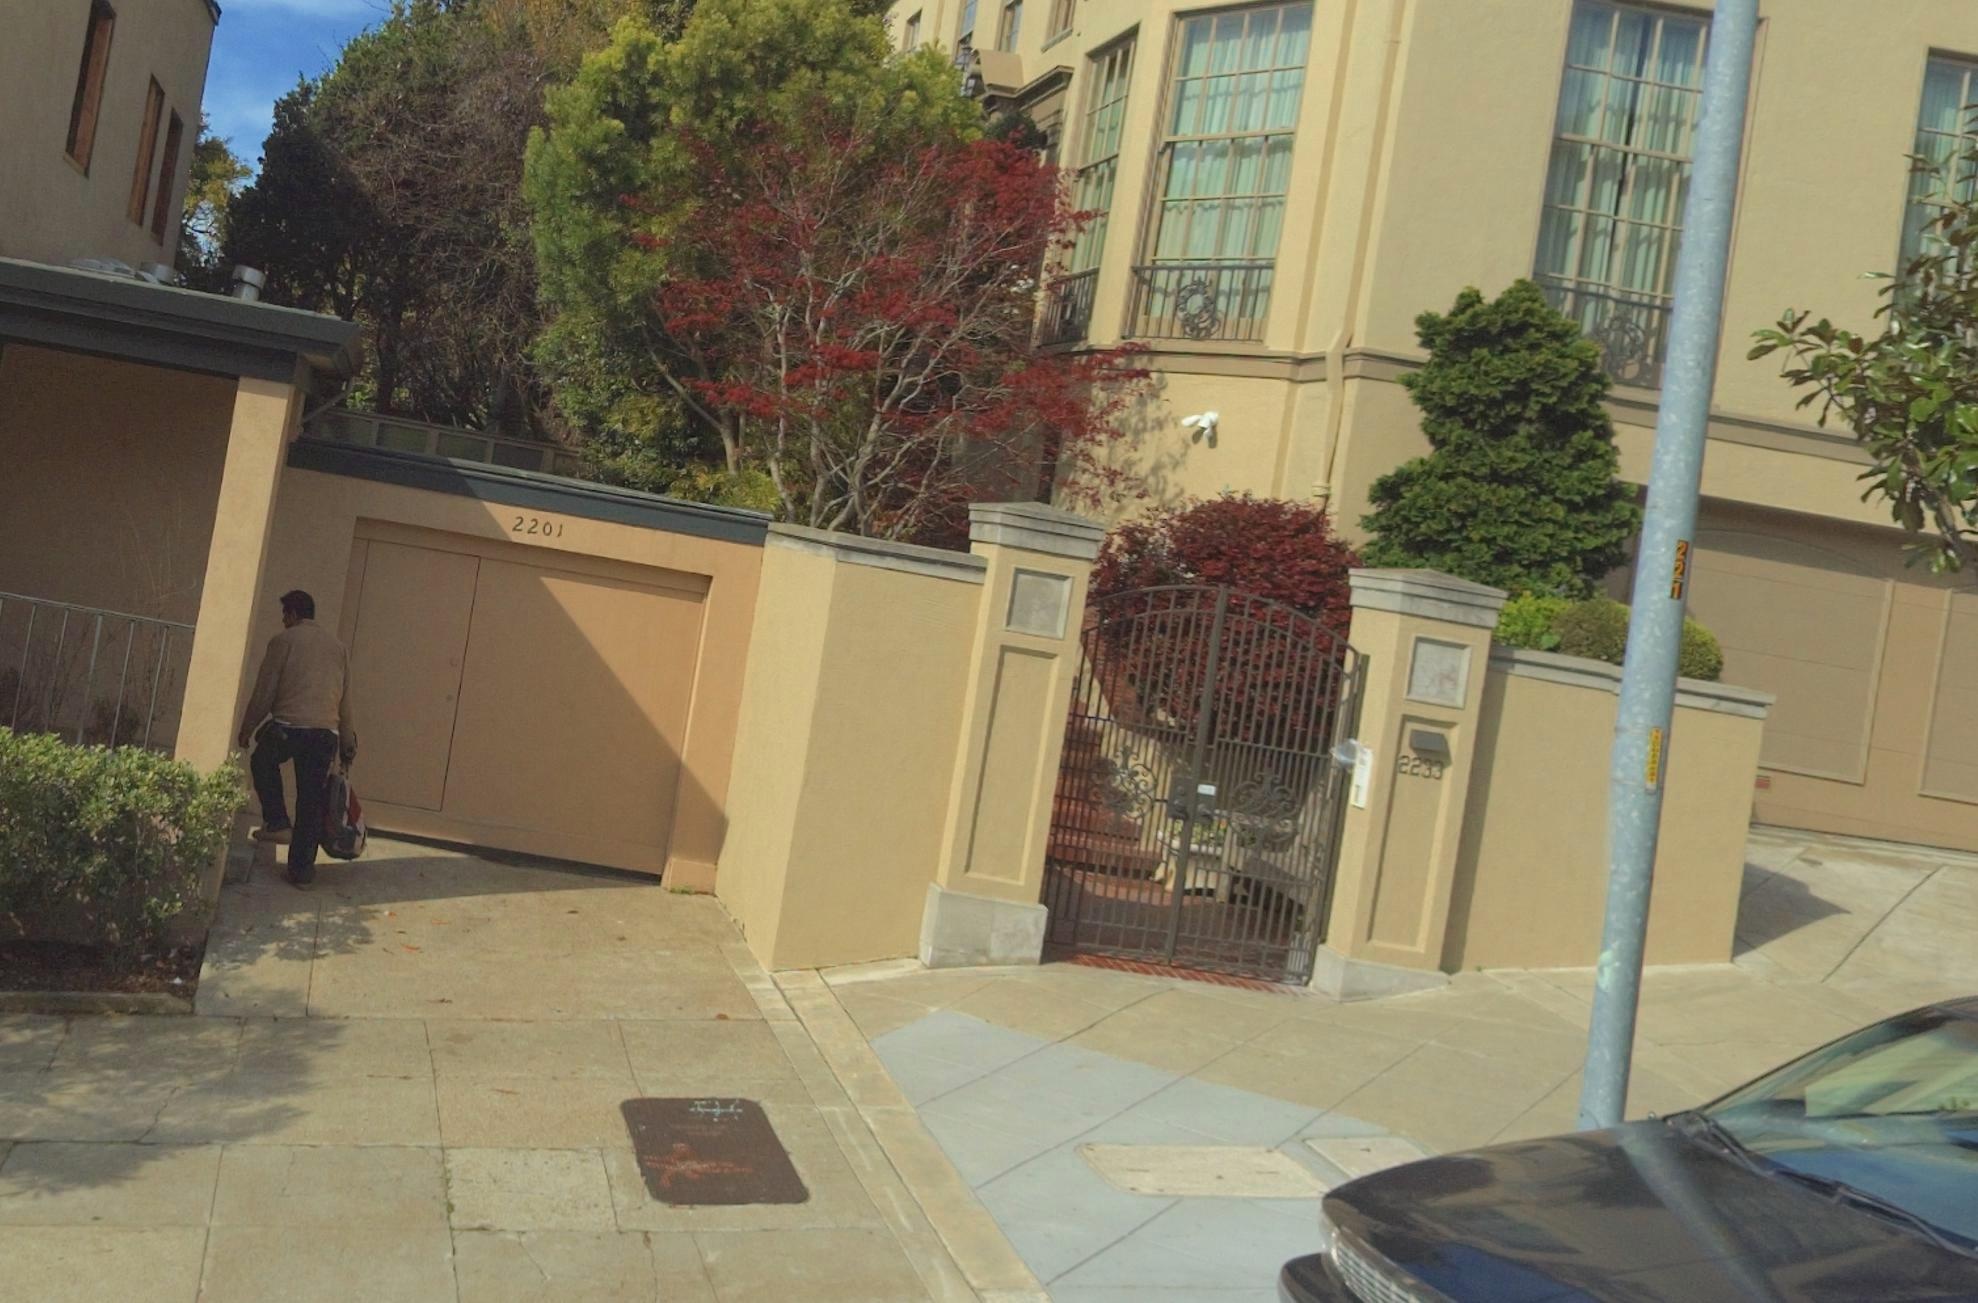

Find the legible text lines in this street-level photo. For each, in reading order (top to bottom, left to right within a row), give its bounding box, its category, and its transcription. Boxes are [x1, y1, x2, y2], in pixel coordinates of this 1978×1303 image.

[508, 512, 567, 542] StreetNumber: 2201
[1668, 539, 1689, 601] None: 221
[1393, 751, 1447, 784] StreetNumber: 2233